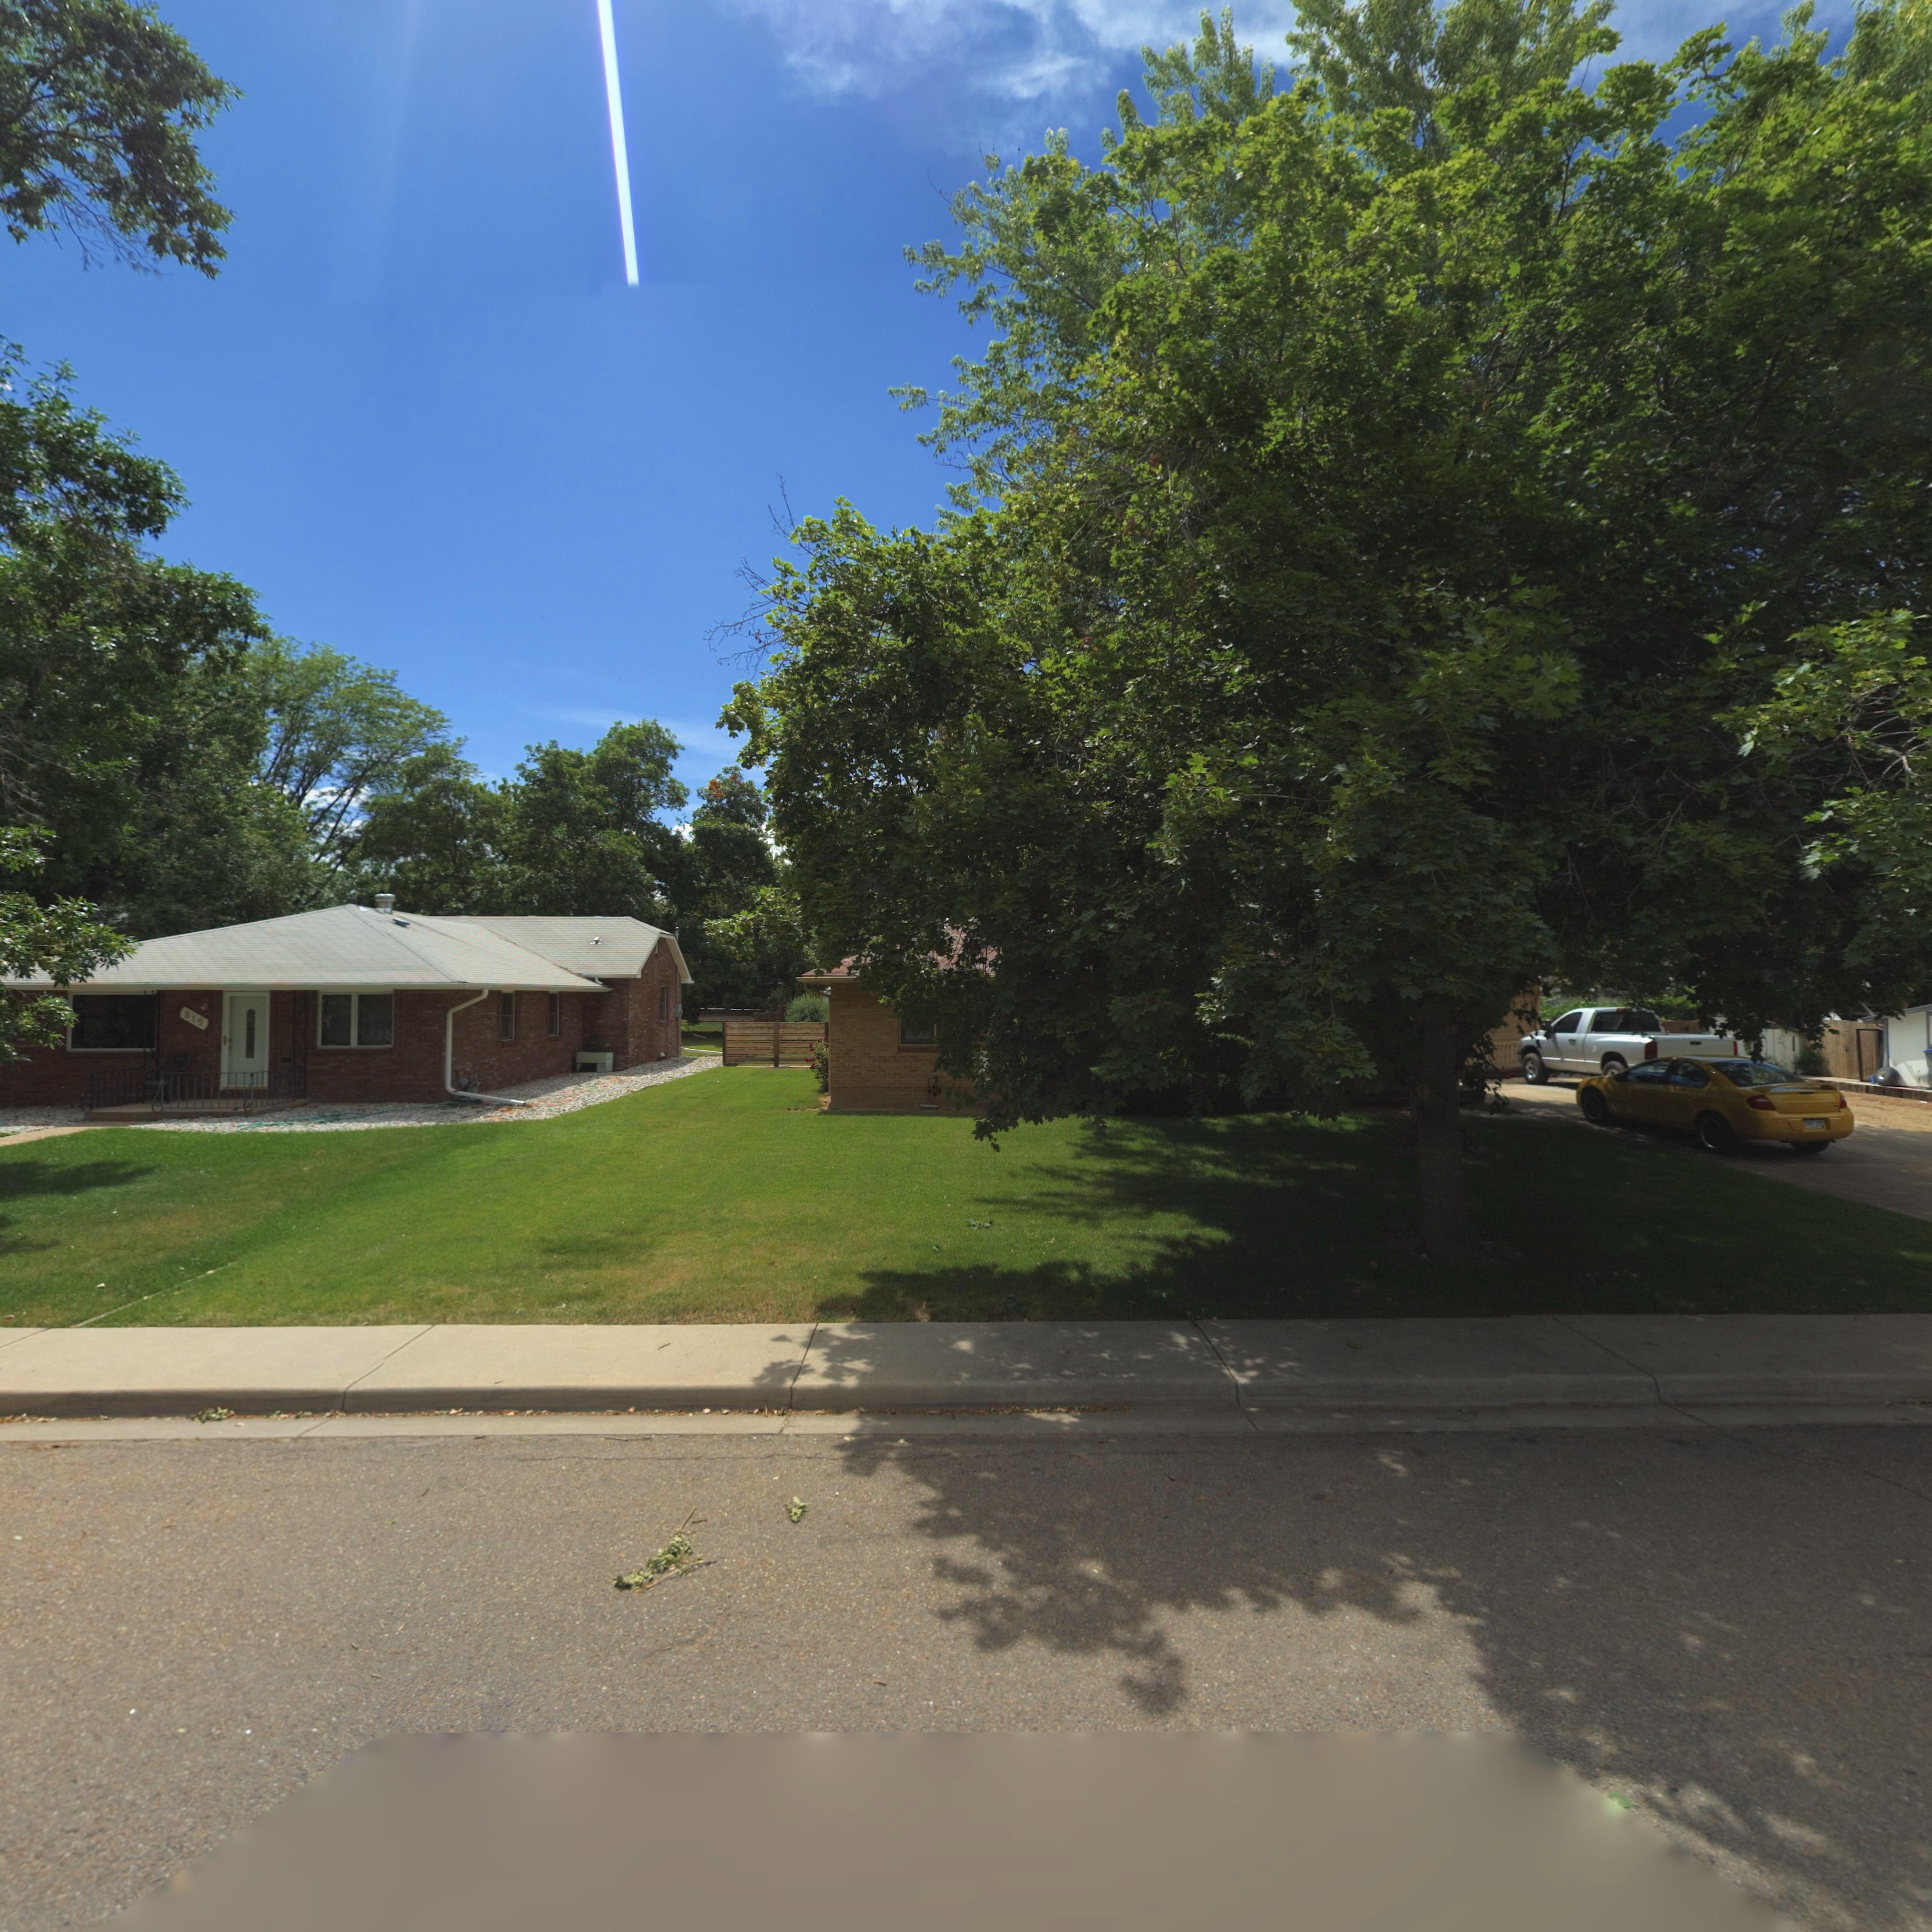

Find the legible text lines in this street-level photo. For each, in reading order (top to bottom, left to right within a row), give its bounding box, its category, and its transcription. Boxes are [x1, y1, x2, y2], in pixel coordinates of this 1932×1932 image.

[184, 1010, 203, 1026] StreetNumber: 819